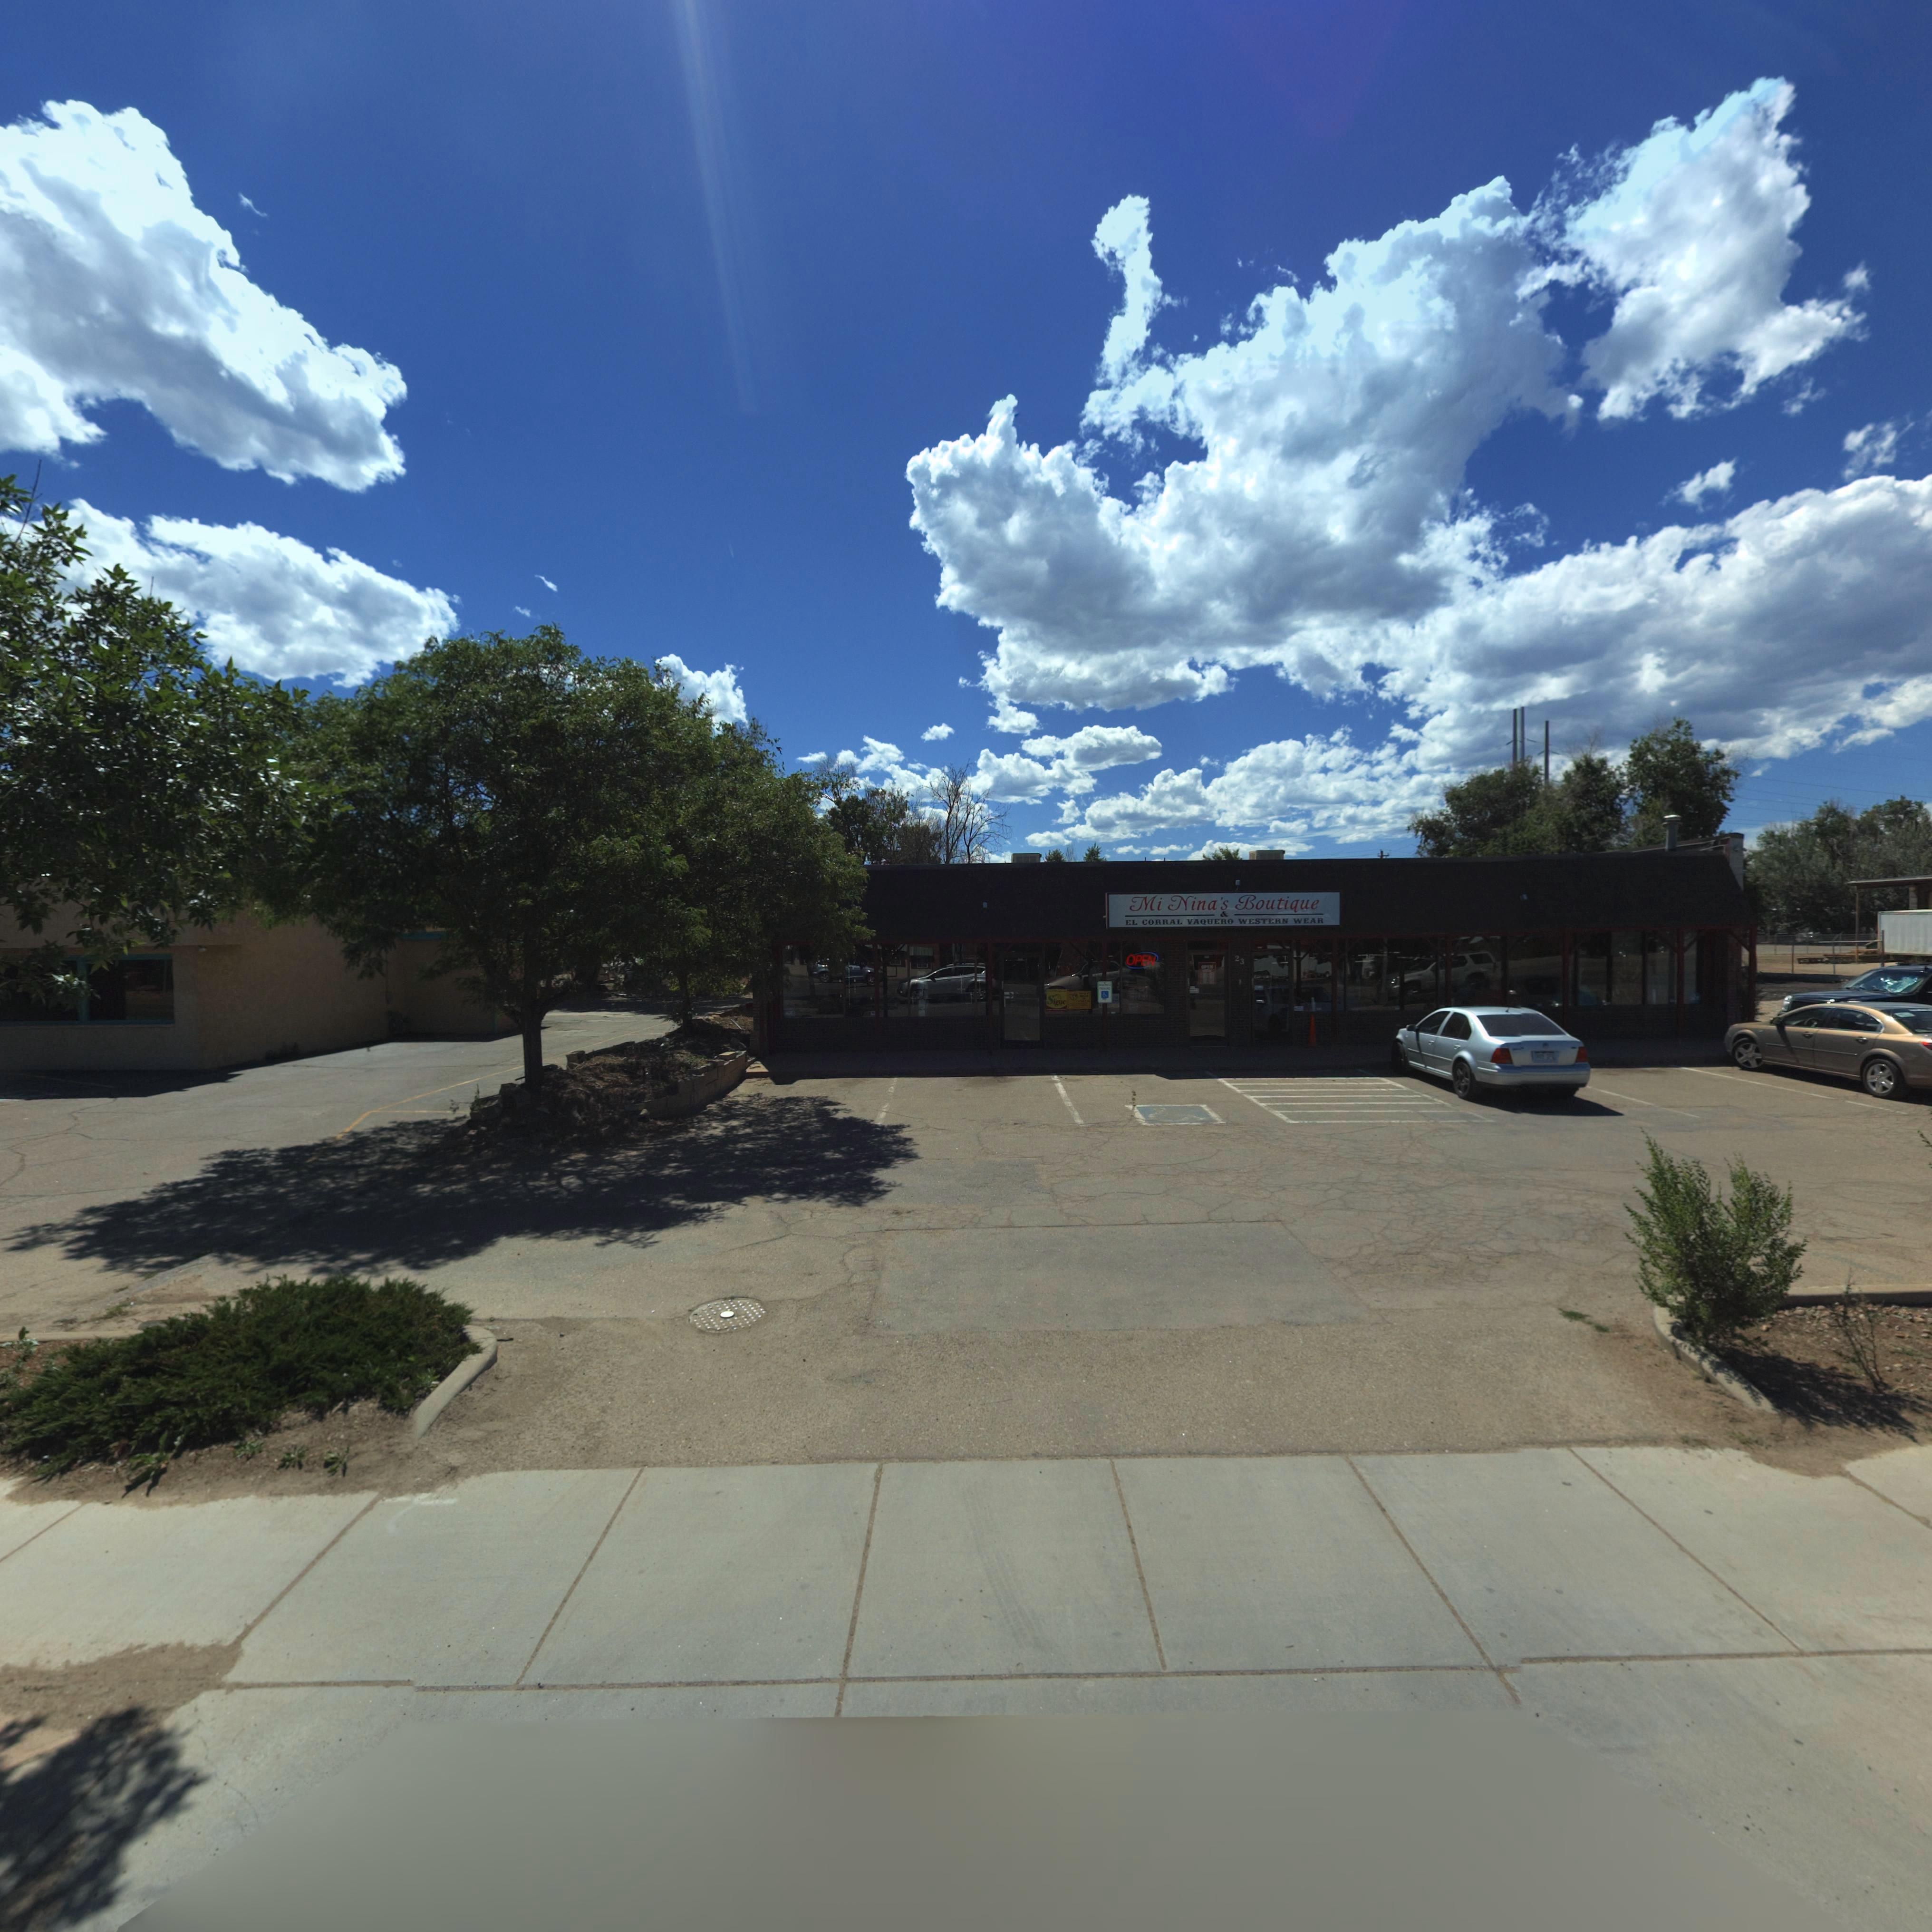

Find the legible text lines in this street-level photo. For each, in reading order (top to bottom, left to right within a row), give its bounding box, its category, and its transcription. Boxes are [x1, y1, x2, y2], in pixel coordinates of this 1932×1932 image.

[1129, 893, 1320, 913] BusinessName: Mi Nina's Boutique
[1125, 917, 1324, 926] BusinessName: EL CORRAL VAQUERO WESTERN WEAR
[1234, 955, 1244, 965] StreetNumber: 23